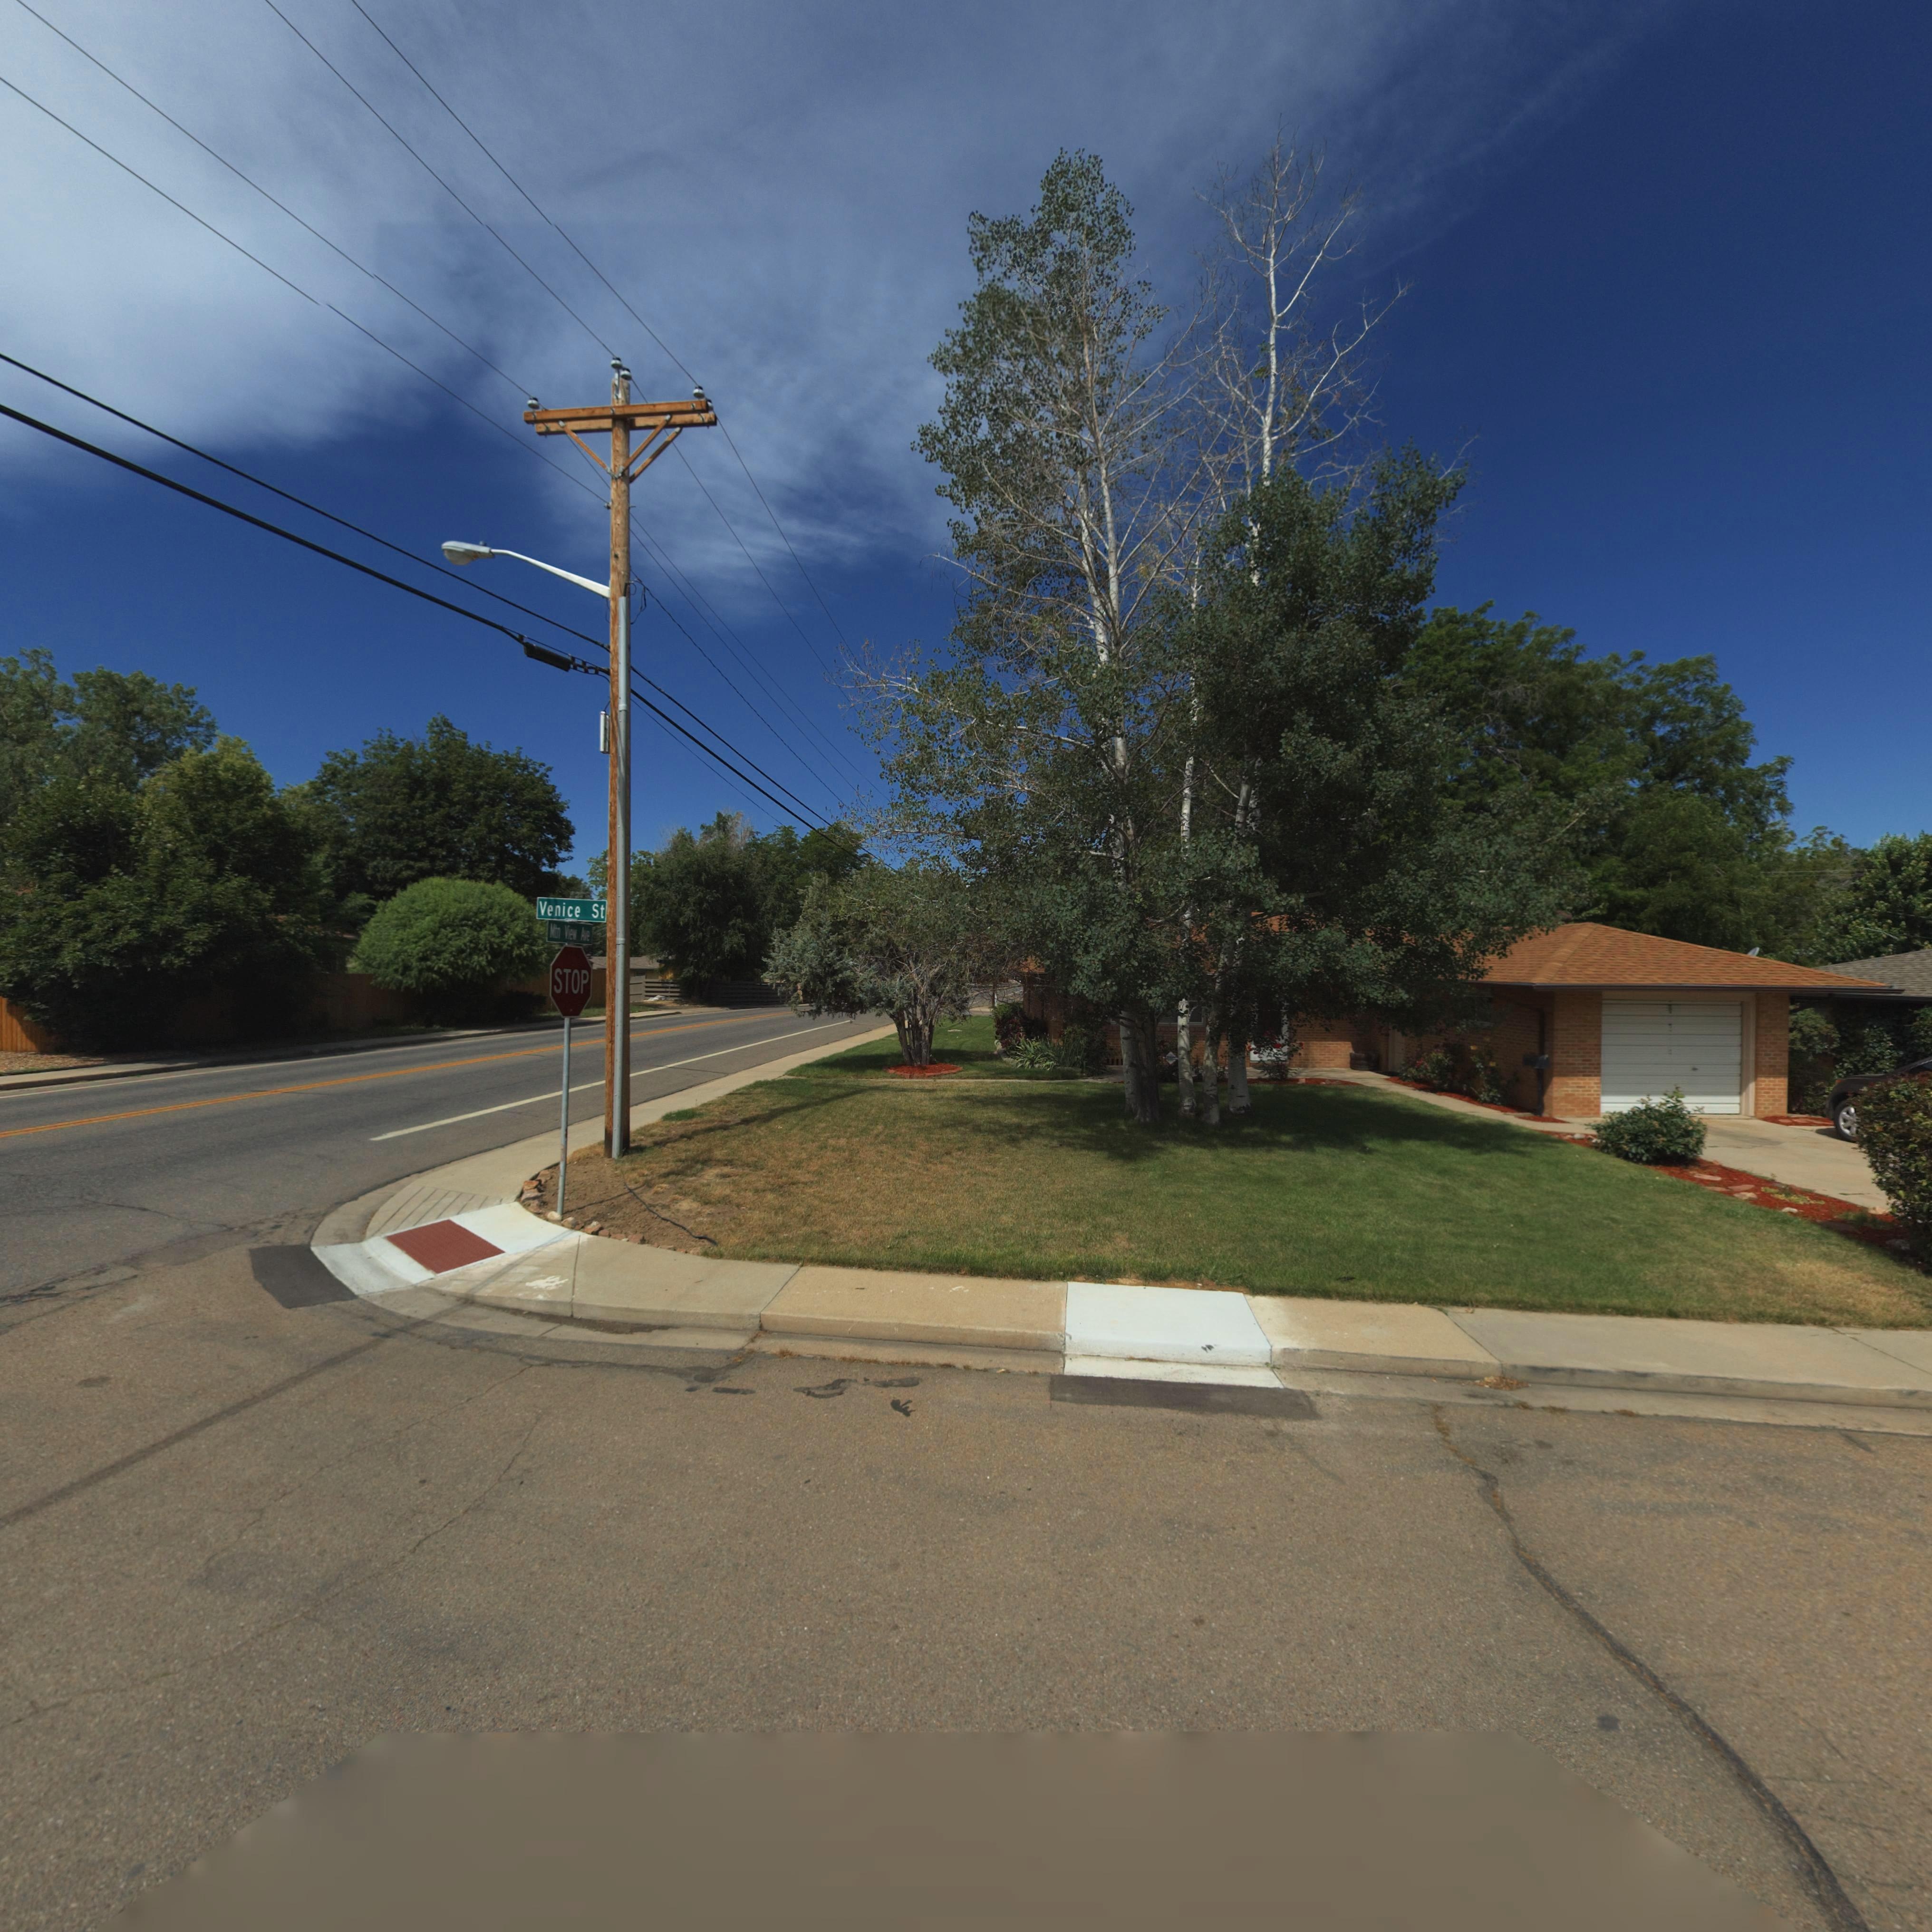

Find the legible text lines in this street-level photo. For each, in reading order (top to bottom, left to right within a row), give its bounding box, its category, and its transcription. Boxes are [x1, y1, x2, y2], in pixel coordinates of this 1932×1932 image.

[538, 900, 605, 918] StreetName: Venice St
[550, 922, 590, 941] StreetName: Mtn View Ave